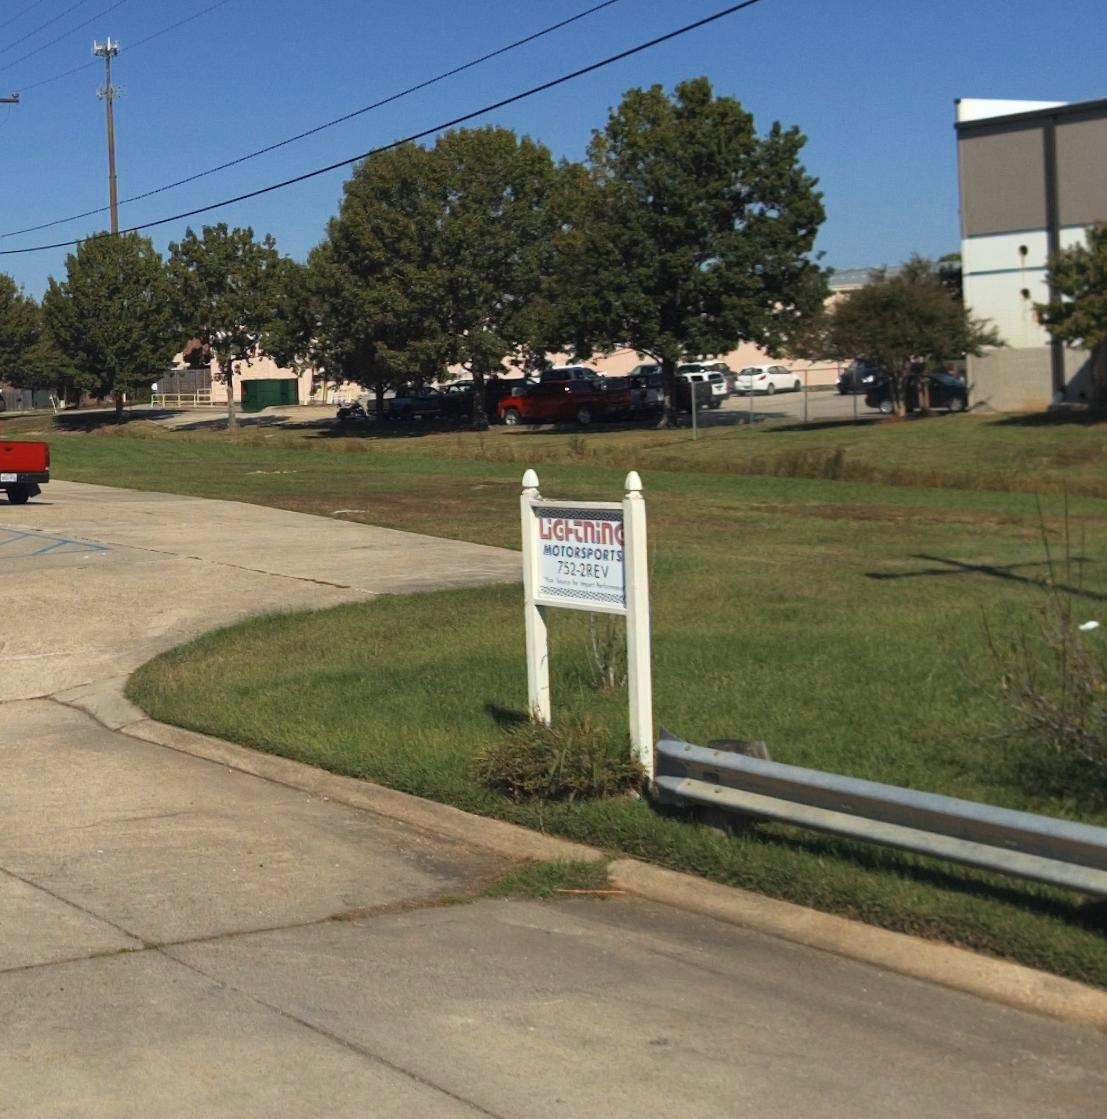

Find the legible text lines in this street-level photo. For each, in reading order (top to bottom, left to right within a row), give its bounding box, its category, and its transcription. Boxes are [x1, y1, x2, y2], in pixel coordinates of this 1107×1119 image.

[536, 514, 617, 548] BusinessName: Lightnin
[539, 541, 626, 564] BusinessName: MOTORSPORTS
[552, 558, 613, 582] None: 752-2REV